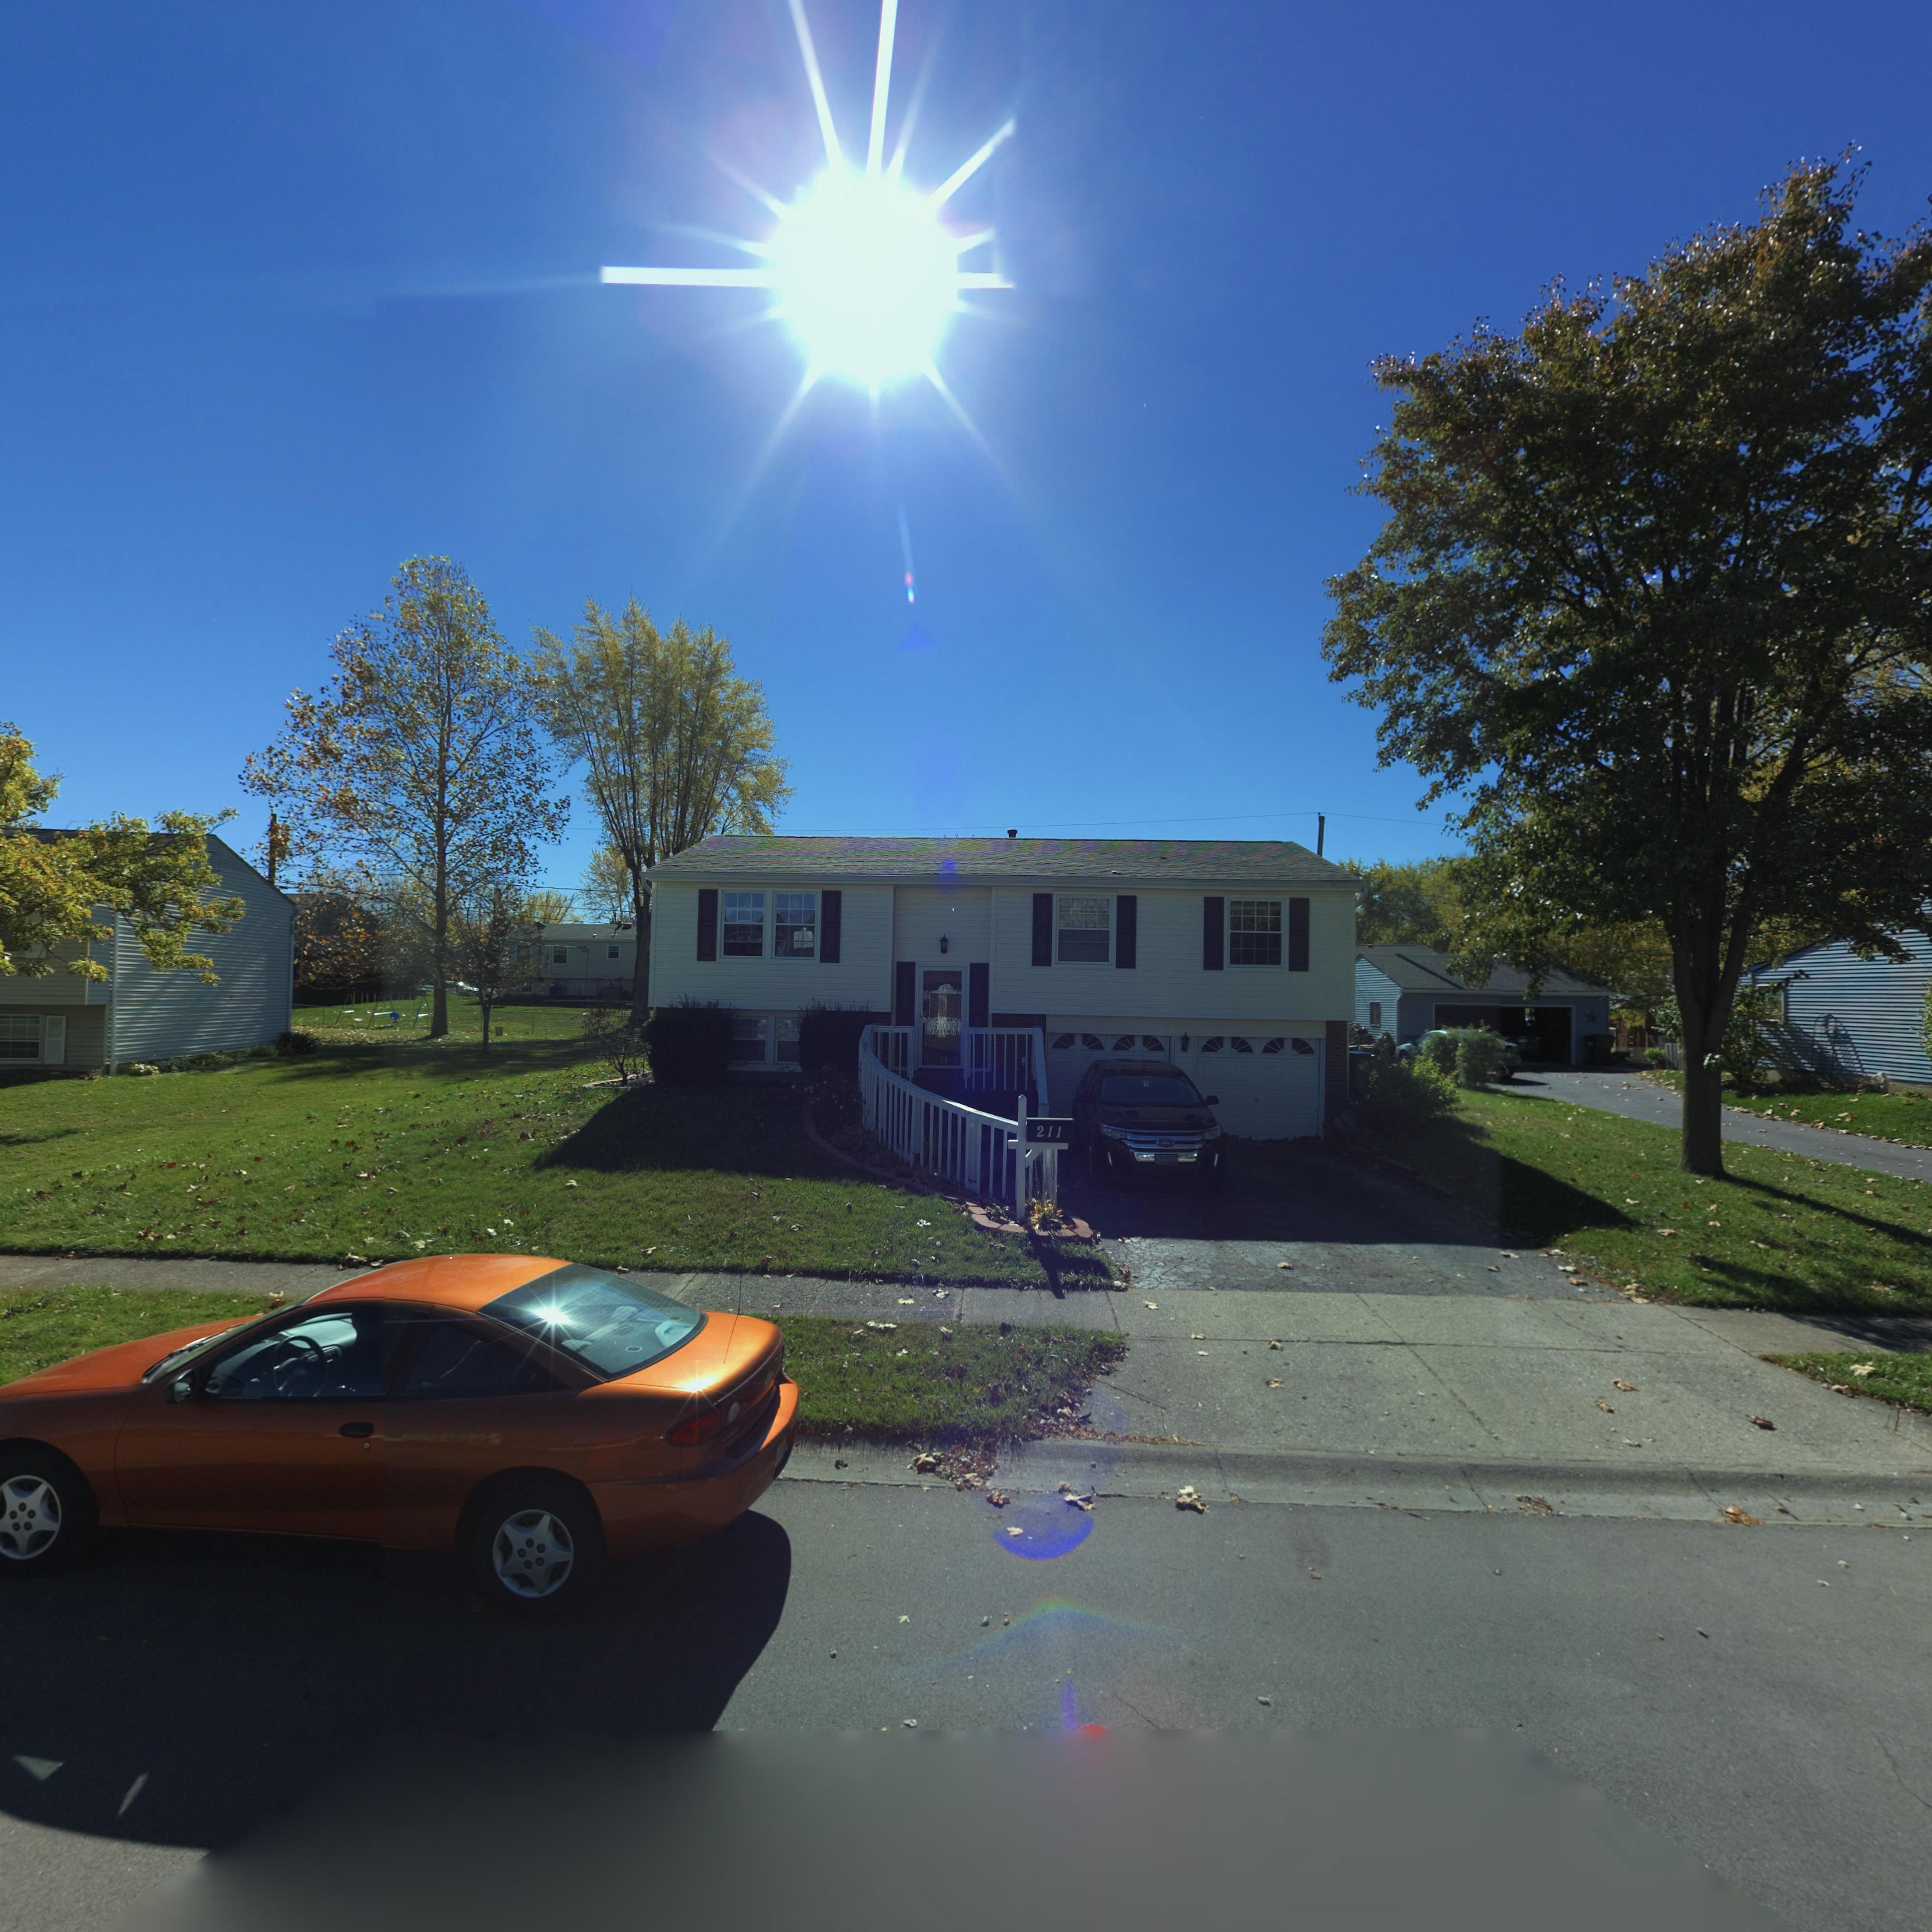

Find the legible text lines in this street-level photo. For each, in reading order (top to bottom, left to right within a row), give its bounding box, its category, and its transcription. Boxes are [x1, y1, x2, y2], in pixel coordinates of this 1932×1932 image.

[1035, 1124, 1063, 1139] StreetNumber: 211